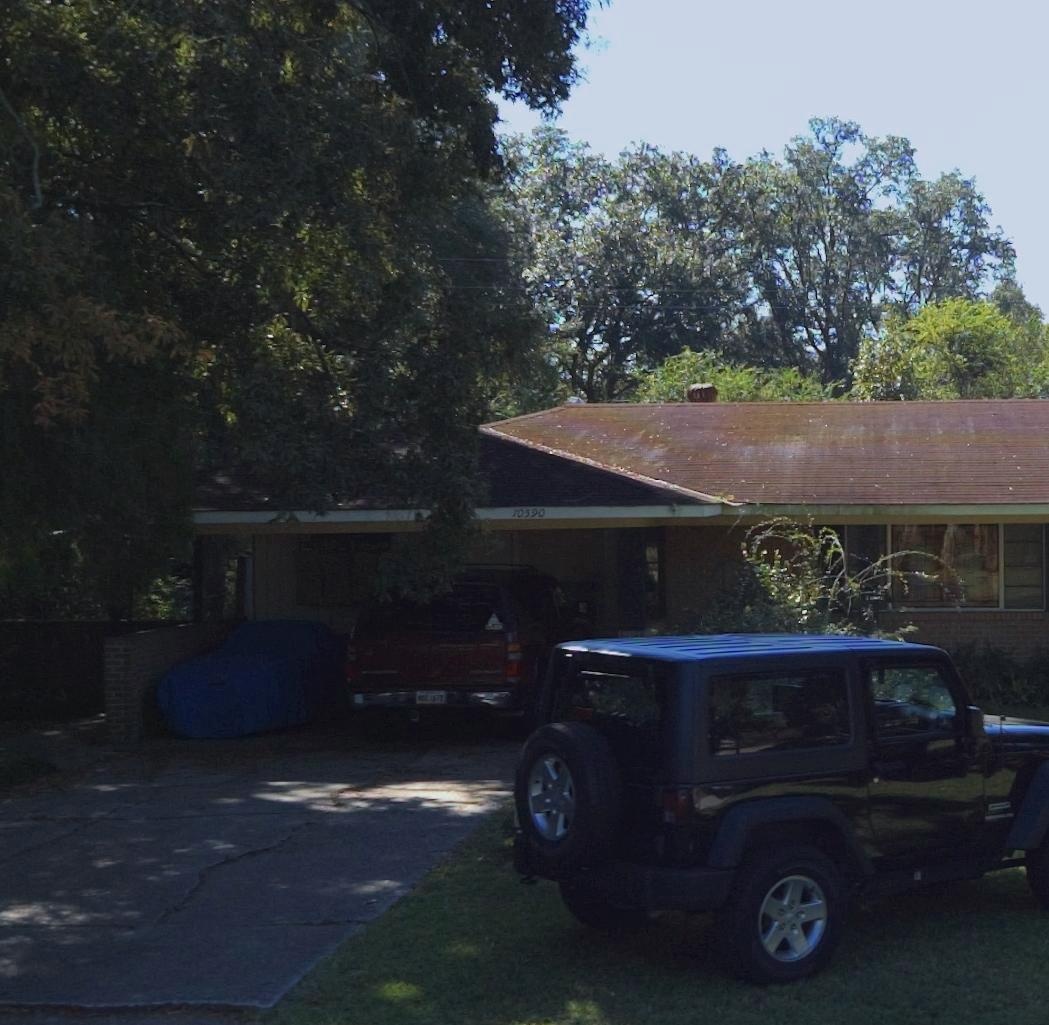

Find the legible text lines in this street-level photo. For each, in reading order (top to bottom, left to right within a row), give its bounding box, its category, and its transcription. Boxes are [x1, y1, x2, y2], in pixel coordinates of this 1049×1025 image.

[511, 506, 547, 520] StreetNumber: 10590